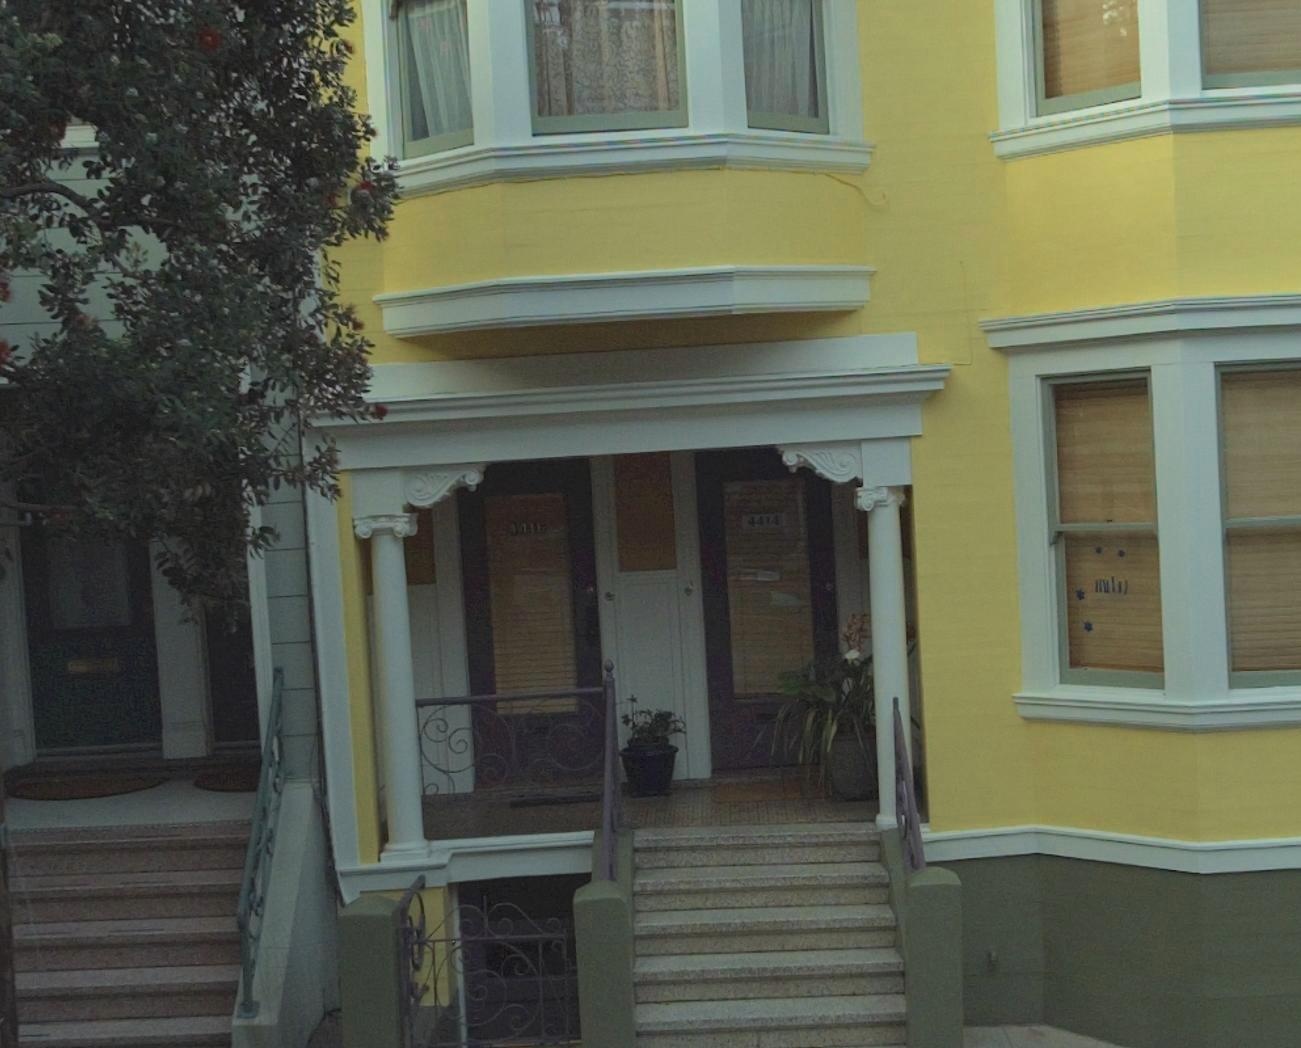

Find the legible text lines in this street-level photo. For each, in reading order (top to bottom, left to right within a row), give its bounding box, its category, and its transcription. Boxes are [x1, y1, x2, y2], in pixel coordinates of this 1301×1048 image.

[746, 514, 780, 527] StreetNumber: 4414
[507, 521, 546, 535] StreetNumber: 4016